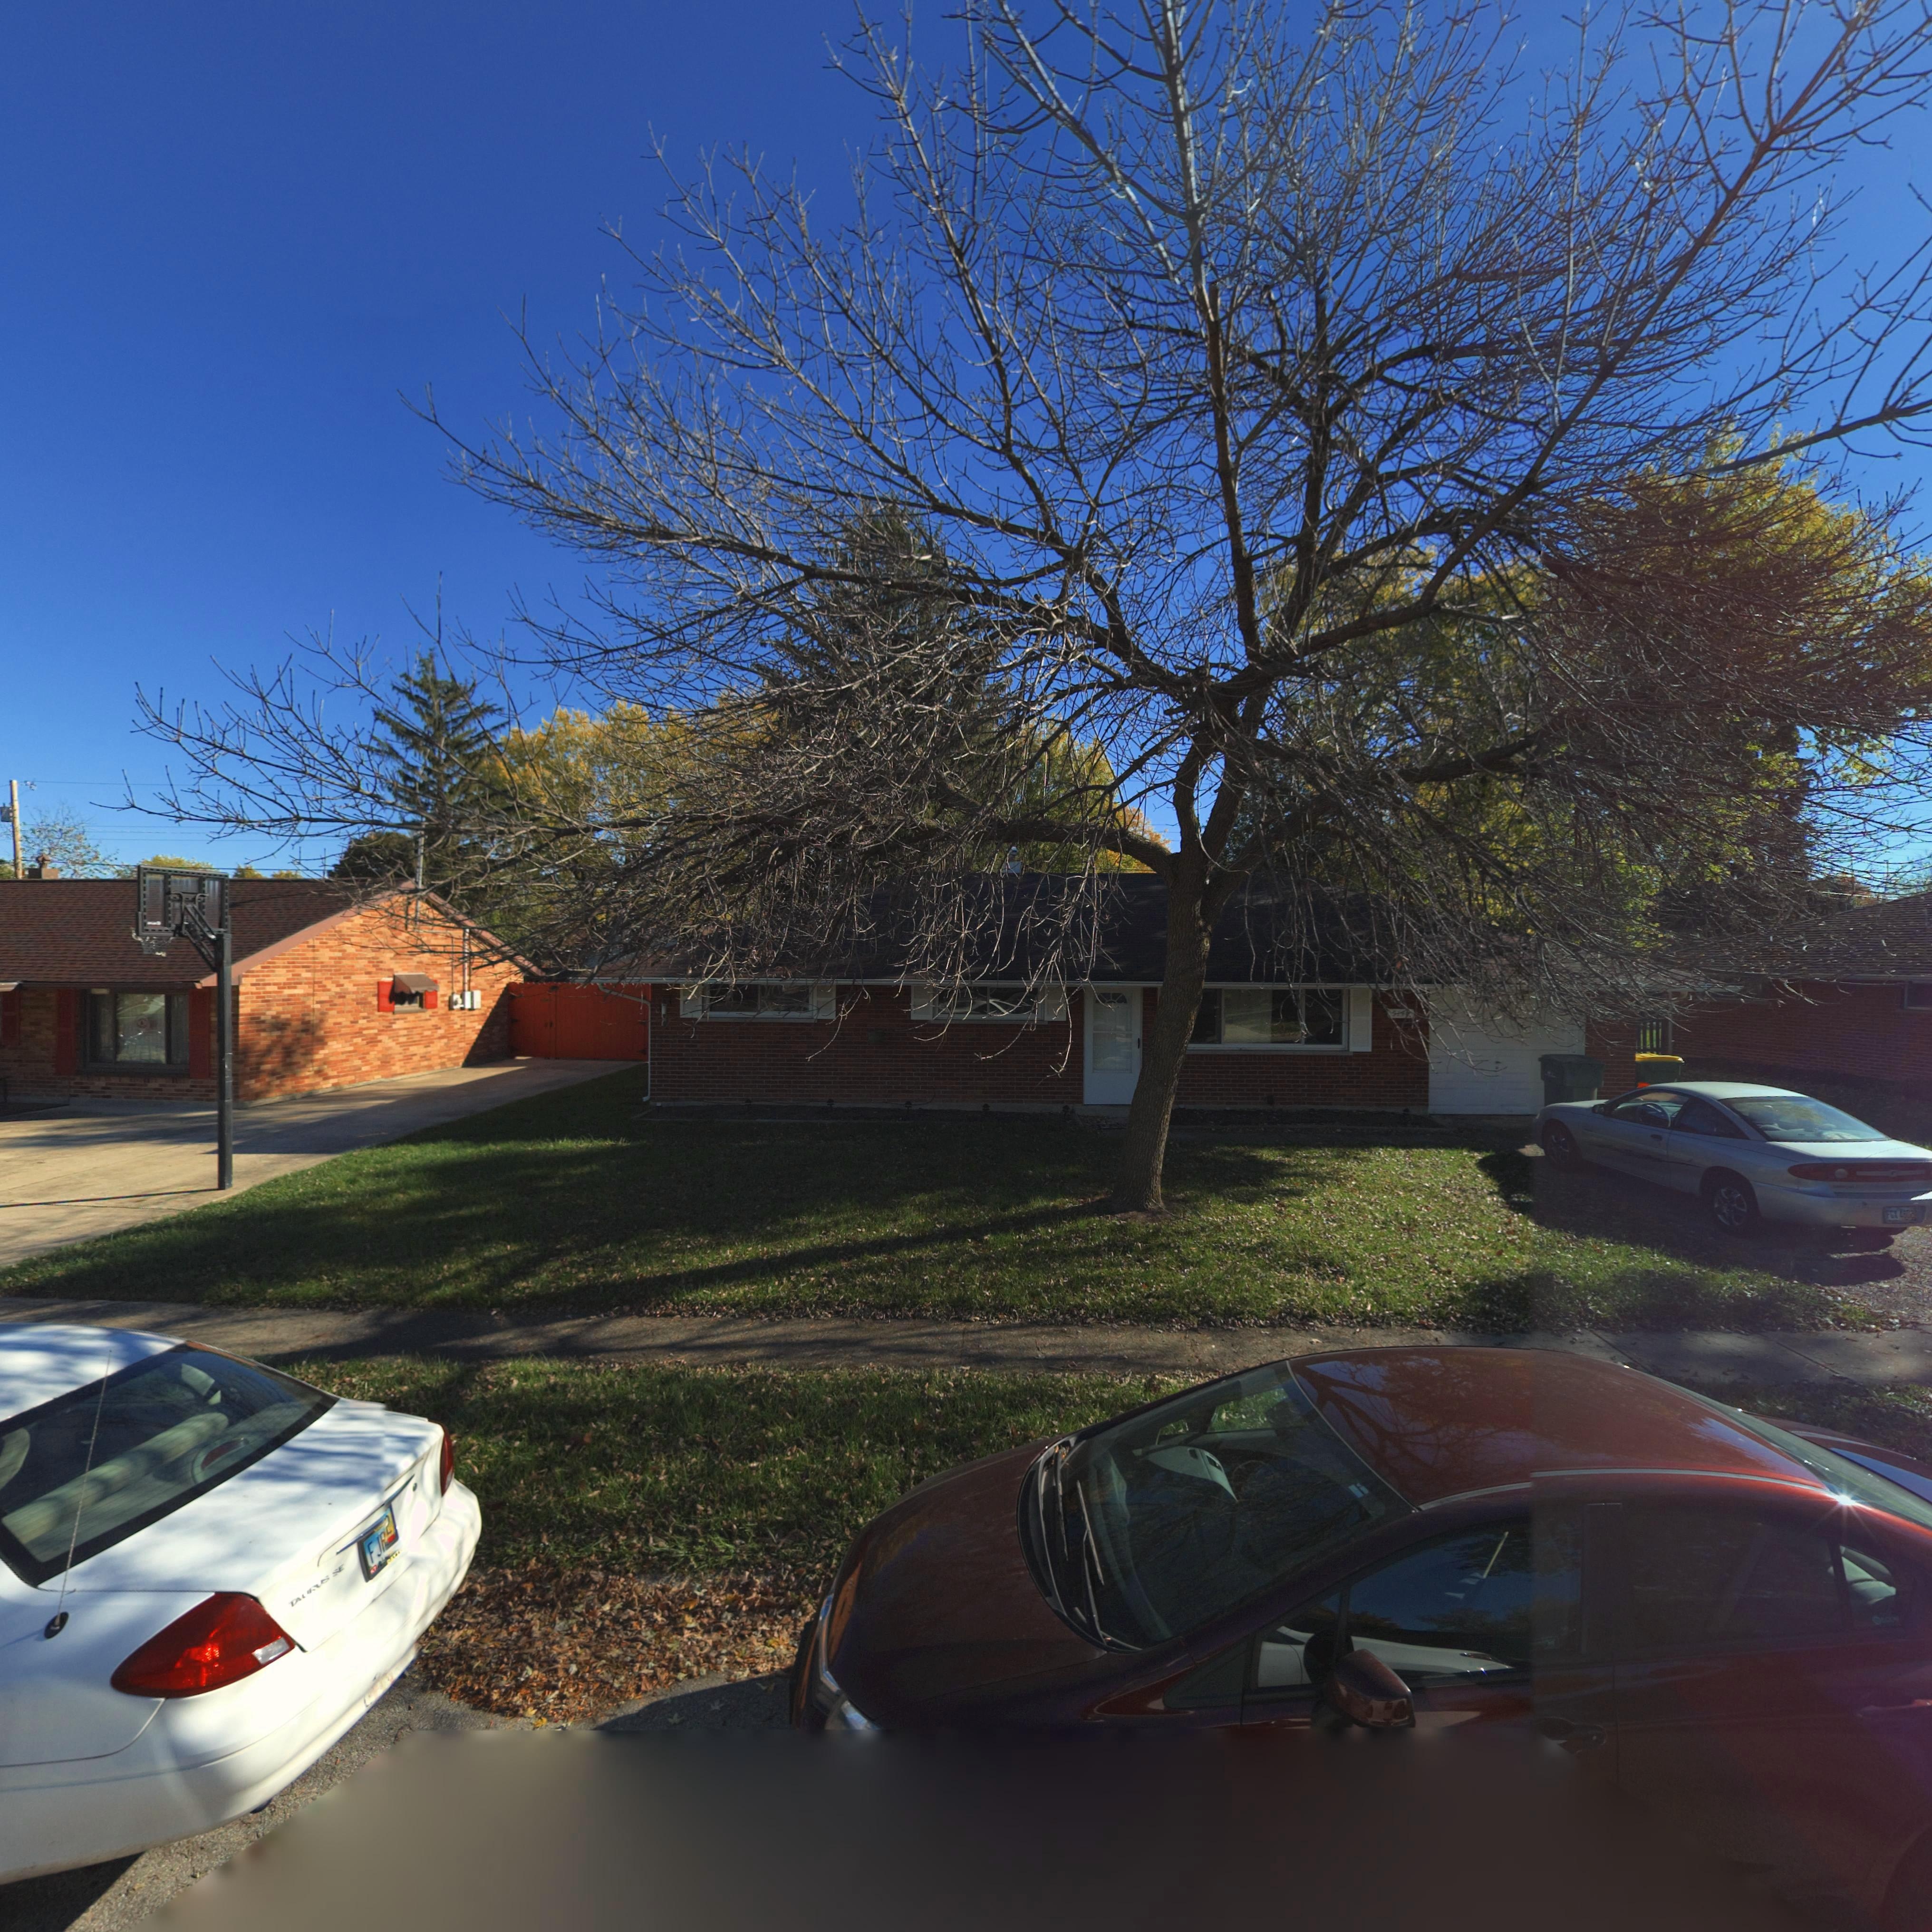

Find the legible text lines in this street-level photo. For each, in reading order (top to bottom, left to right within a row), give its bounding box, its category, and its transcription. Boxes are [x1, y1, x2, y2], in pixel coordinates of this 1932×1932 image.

[1391, 1009, 1410, 1017] StreetNumber: 5140